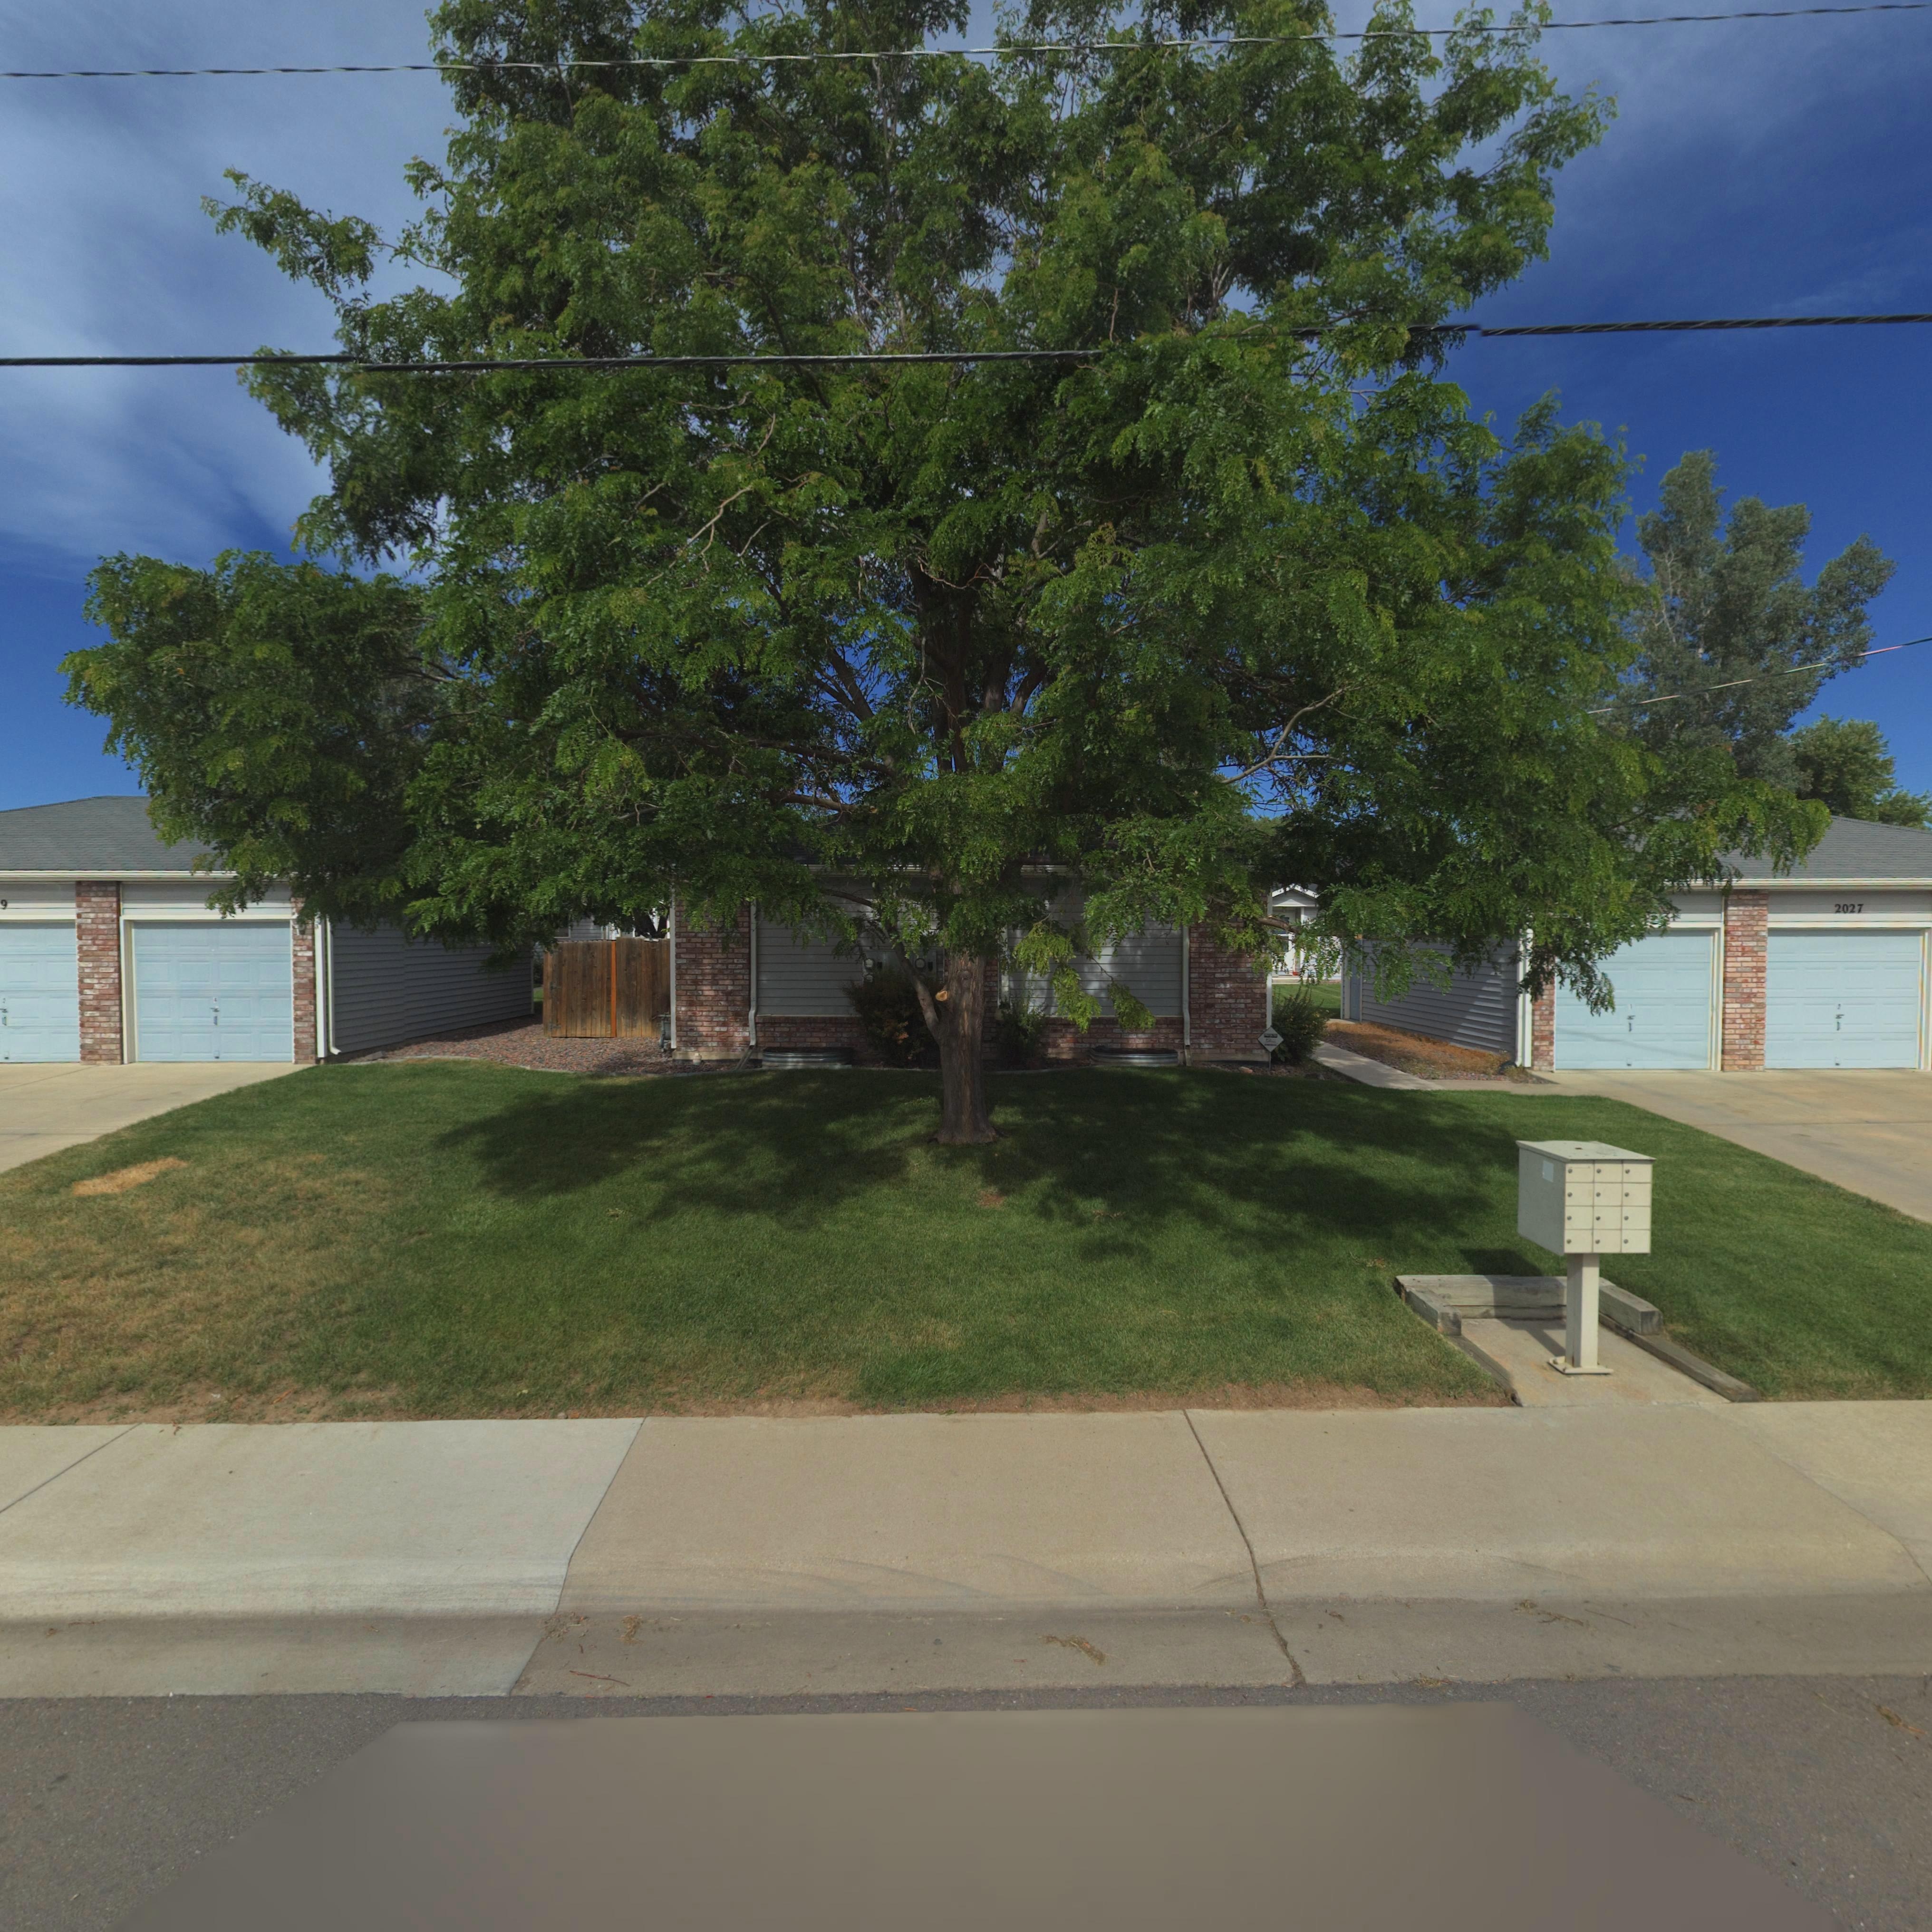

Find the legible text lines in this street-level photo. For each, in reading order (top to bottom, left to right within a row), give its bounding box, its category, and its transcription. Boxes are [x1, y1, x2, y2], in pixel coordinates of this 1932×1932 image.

[0, 899, 8, 910] StreetNumber: 9
[1834, 903, 1864, 914] StreetNumber: 2027